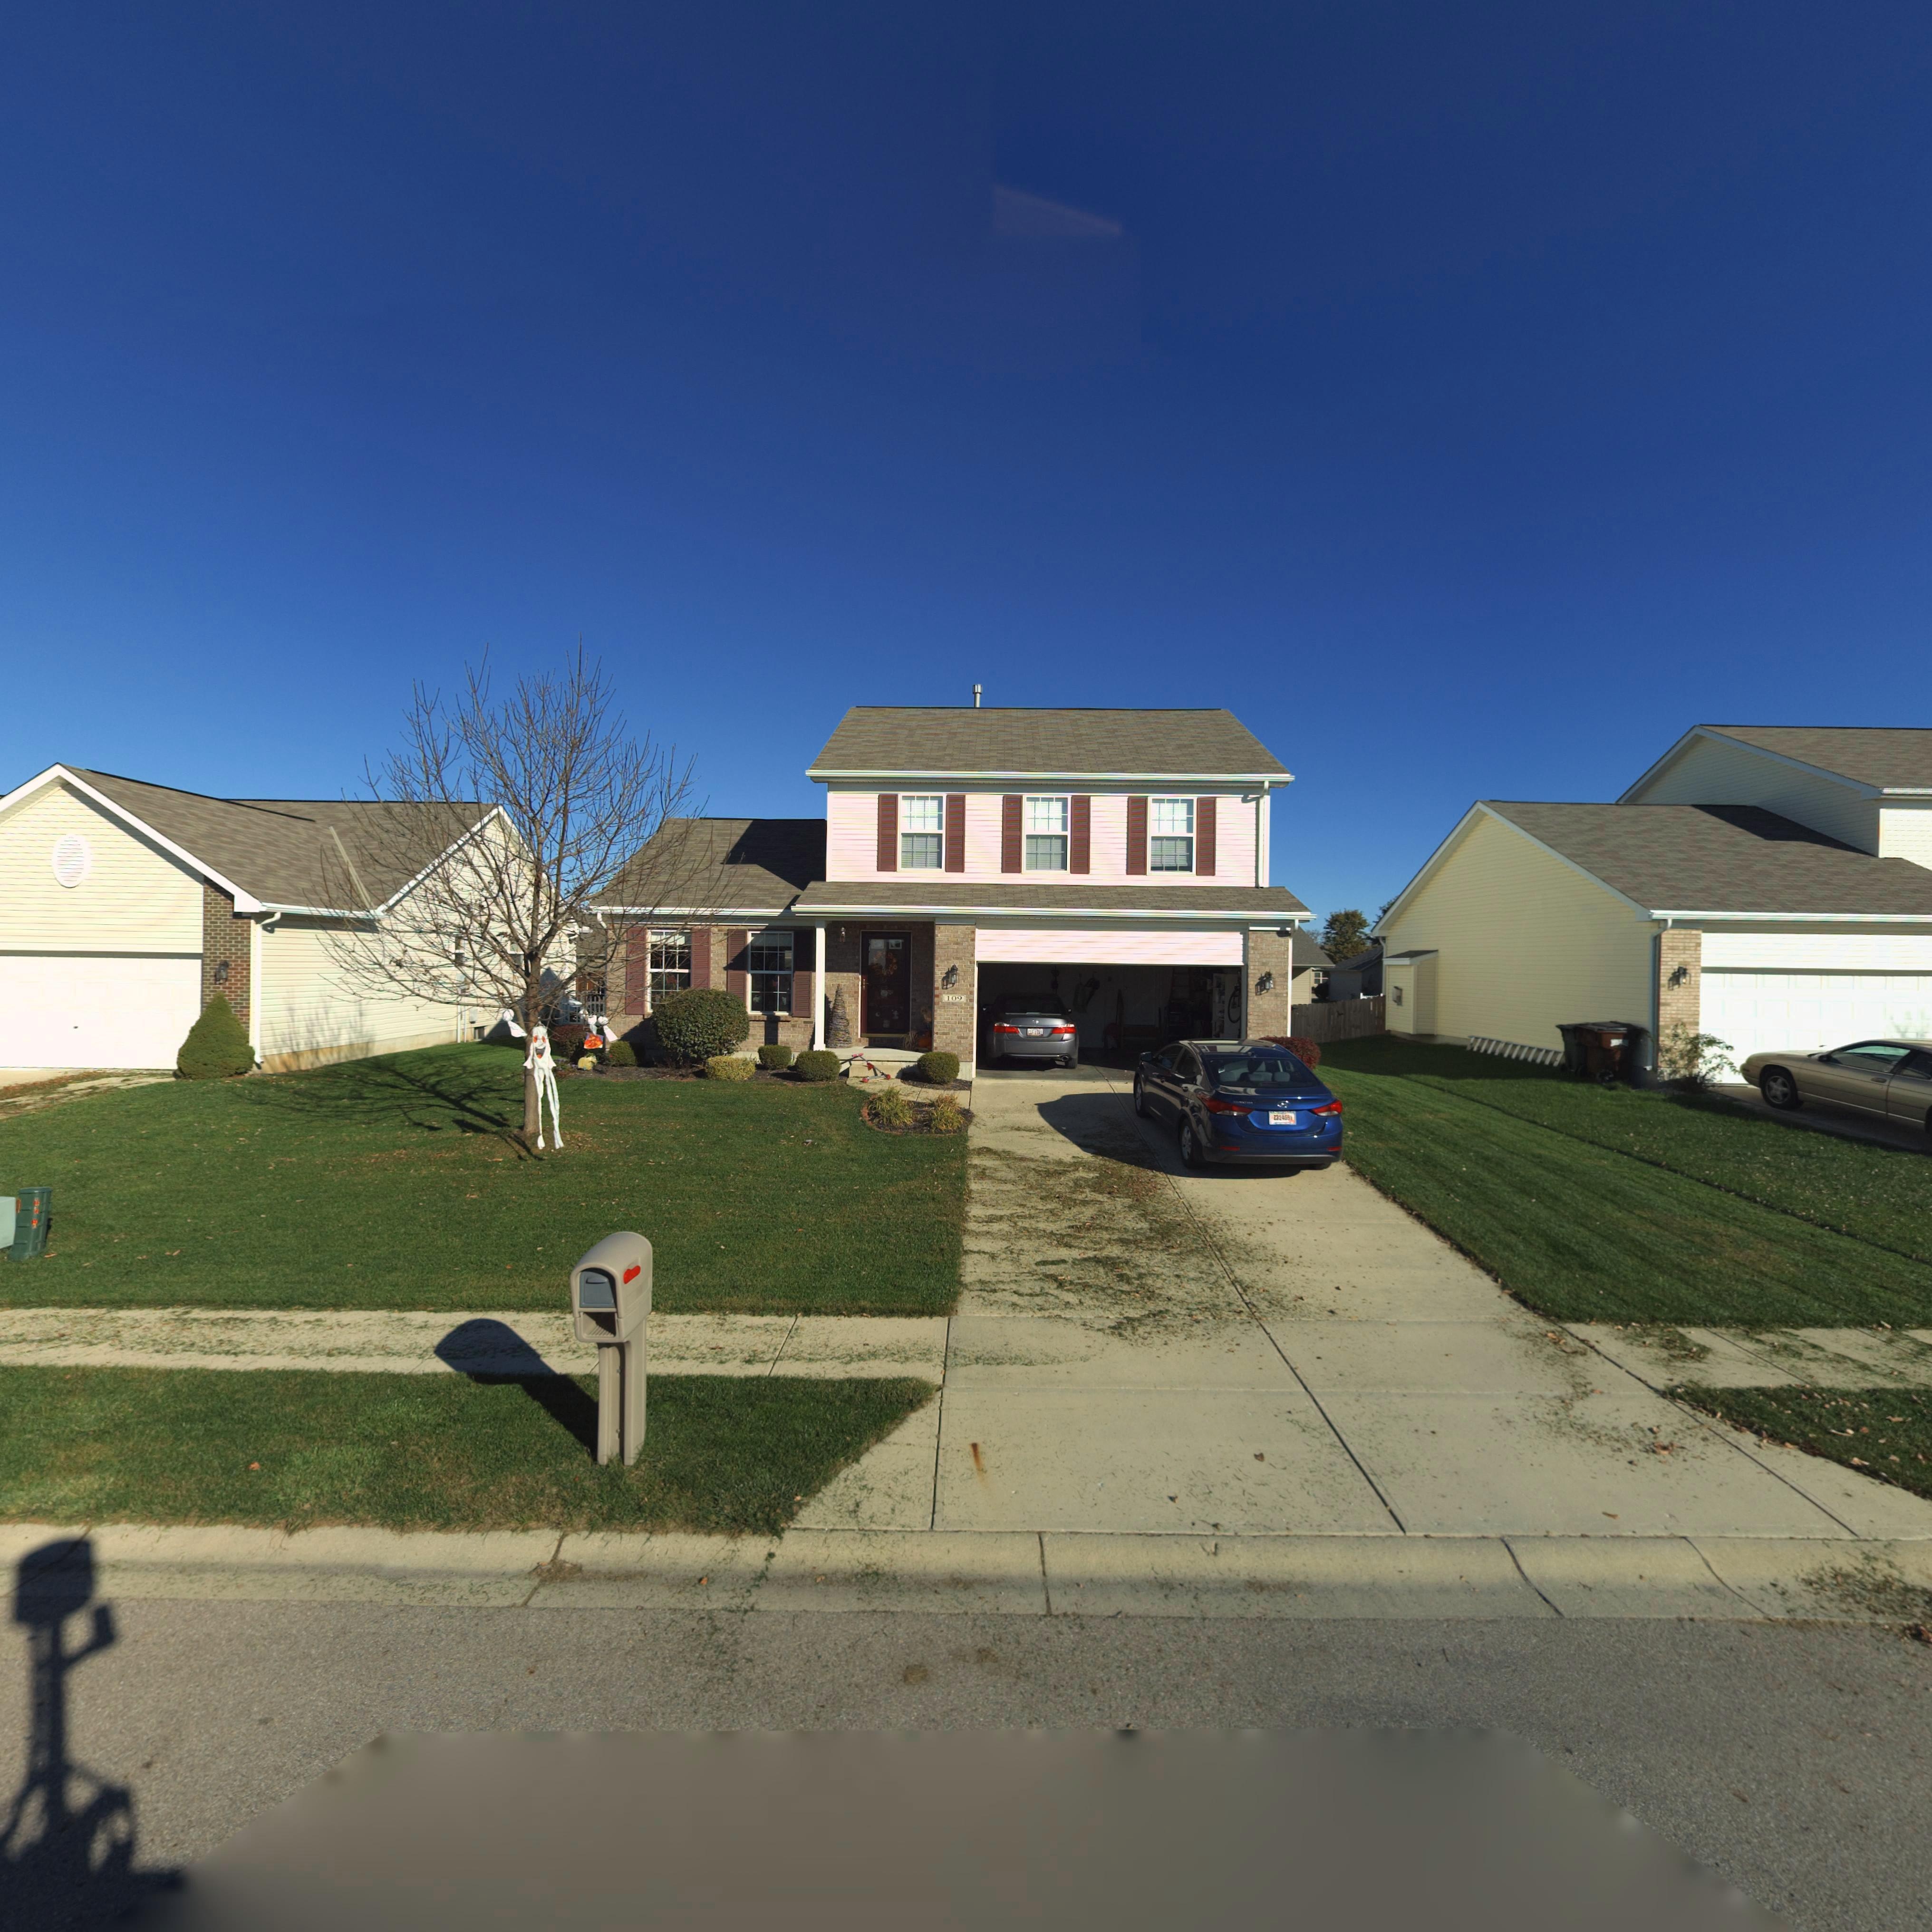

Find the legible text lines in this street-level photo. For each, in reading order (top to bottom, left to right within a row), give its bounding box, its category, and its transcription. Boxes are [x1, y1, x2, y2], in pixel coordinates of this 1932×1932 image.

[946, 995, 963, 1002] StreetNumber: 109